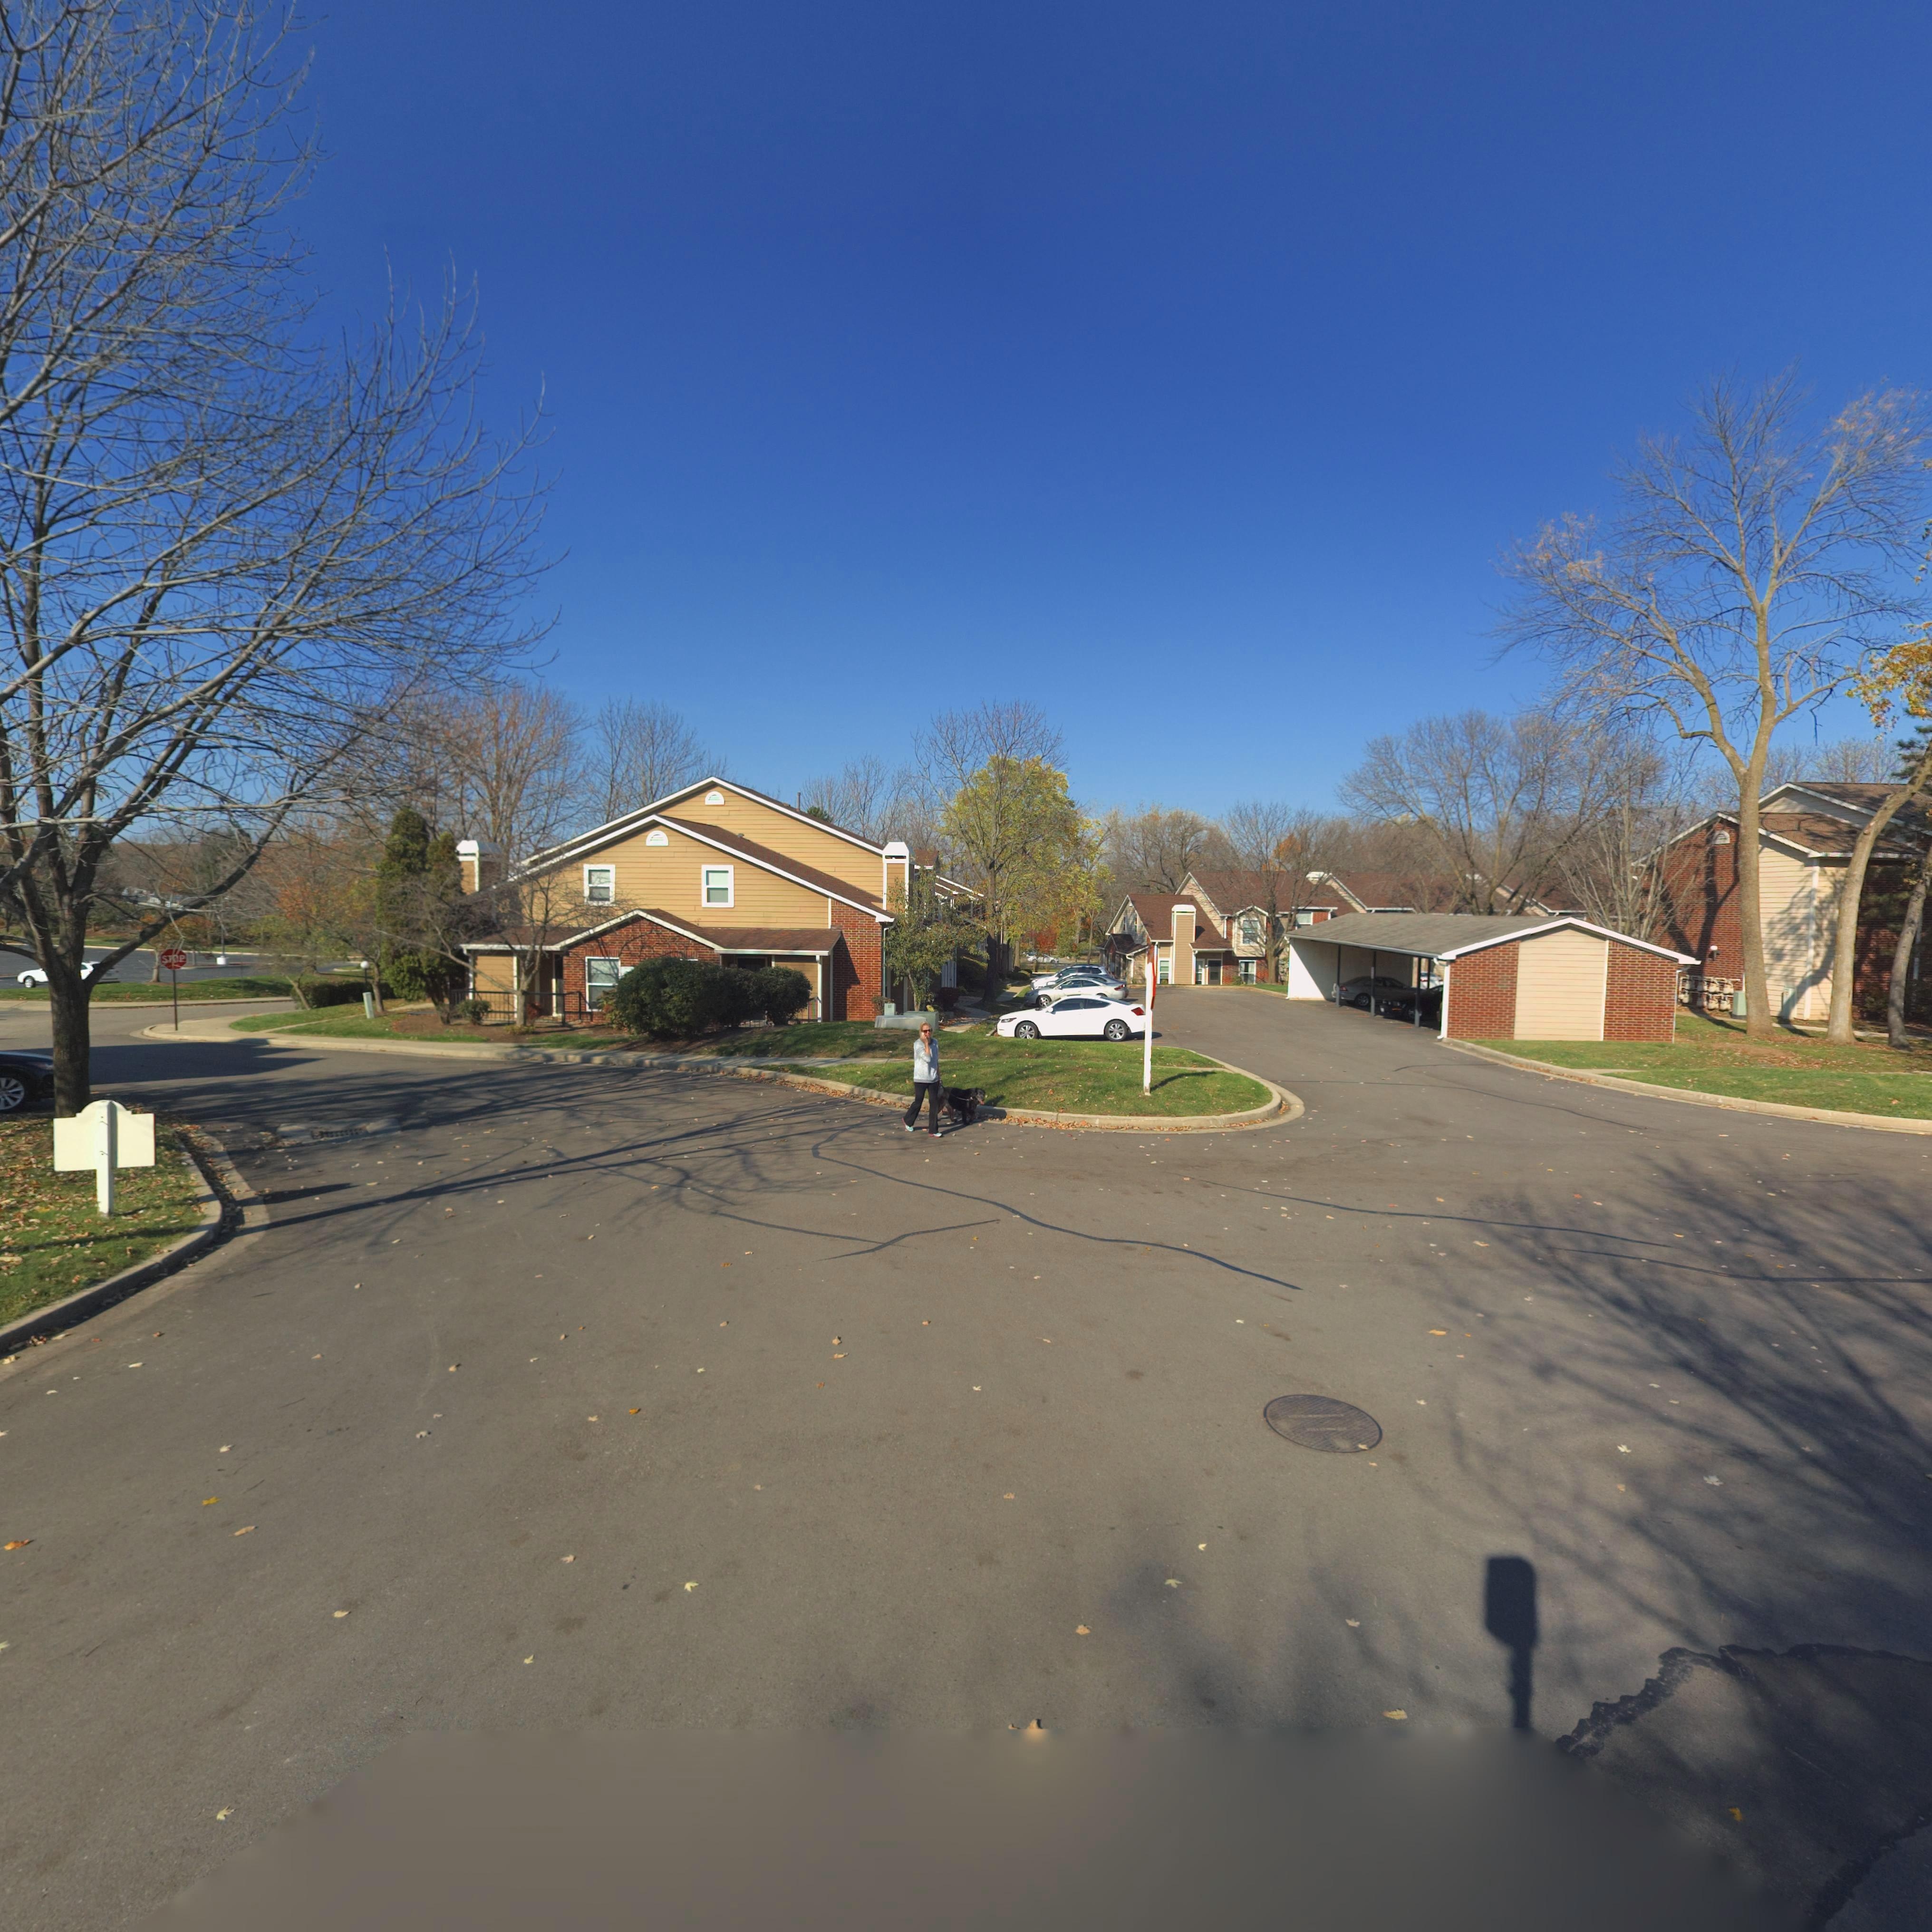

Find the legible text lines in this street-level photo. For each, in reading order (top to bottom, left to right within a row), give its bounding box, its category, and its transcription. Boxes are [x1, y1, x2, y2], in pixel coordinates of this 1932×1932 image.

[161, 953, 187, 964] None: S**P